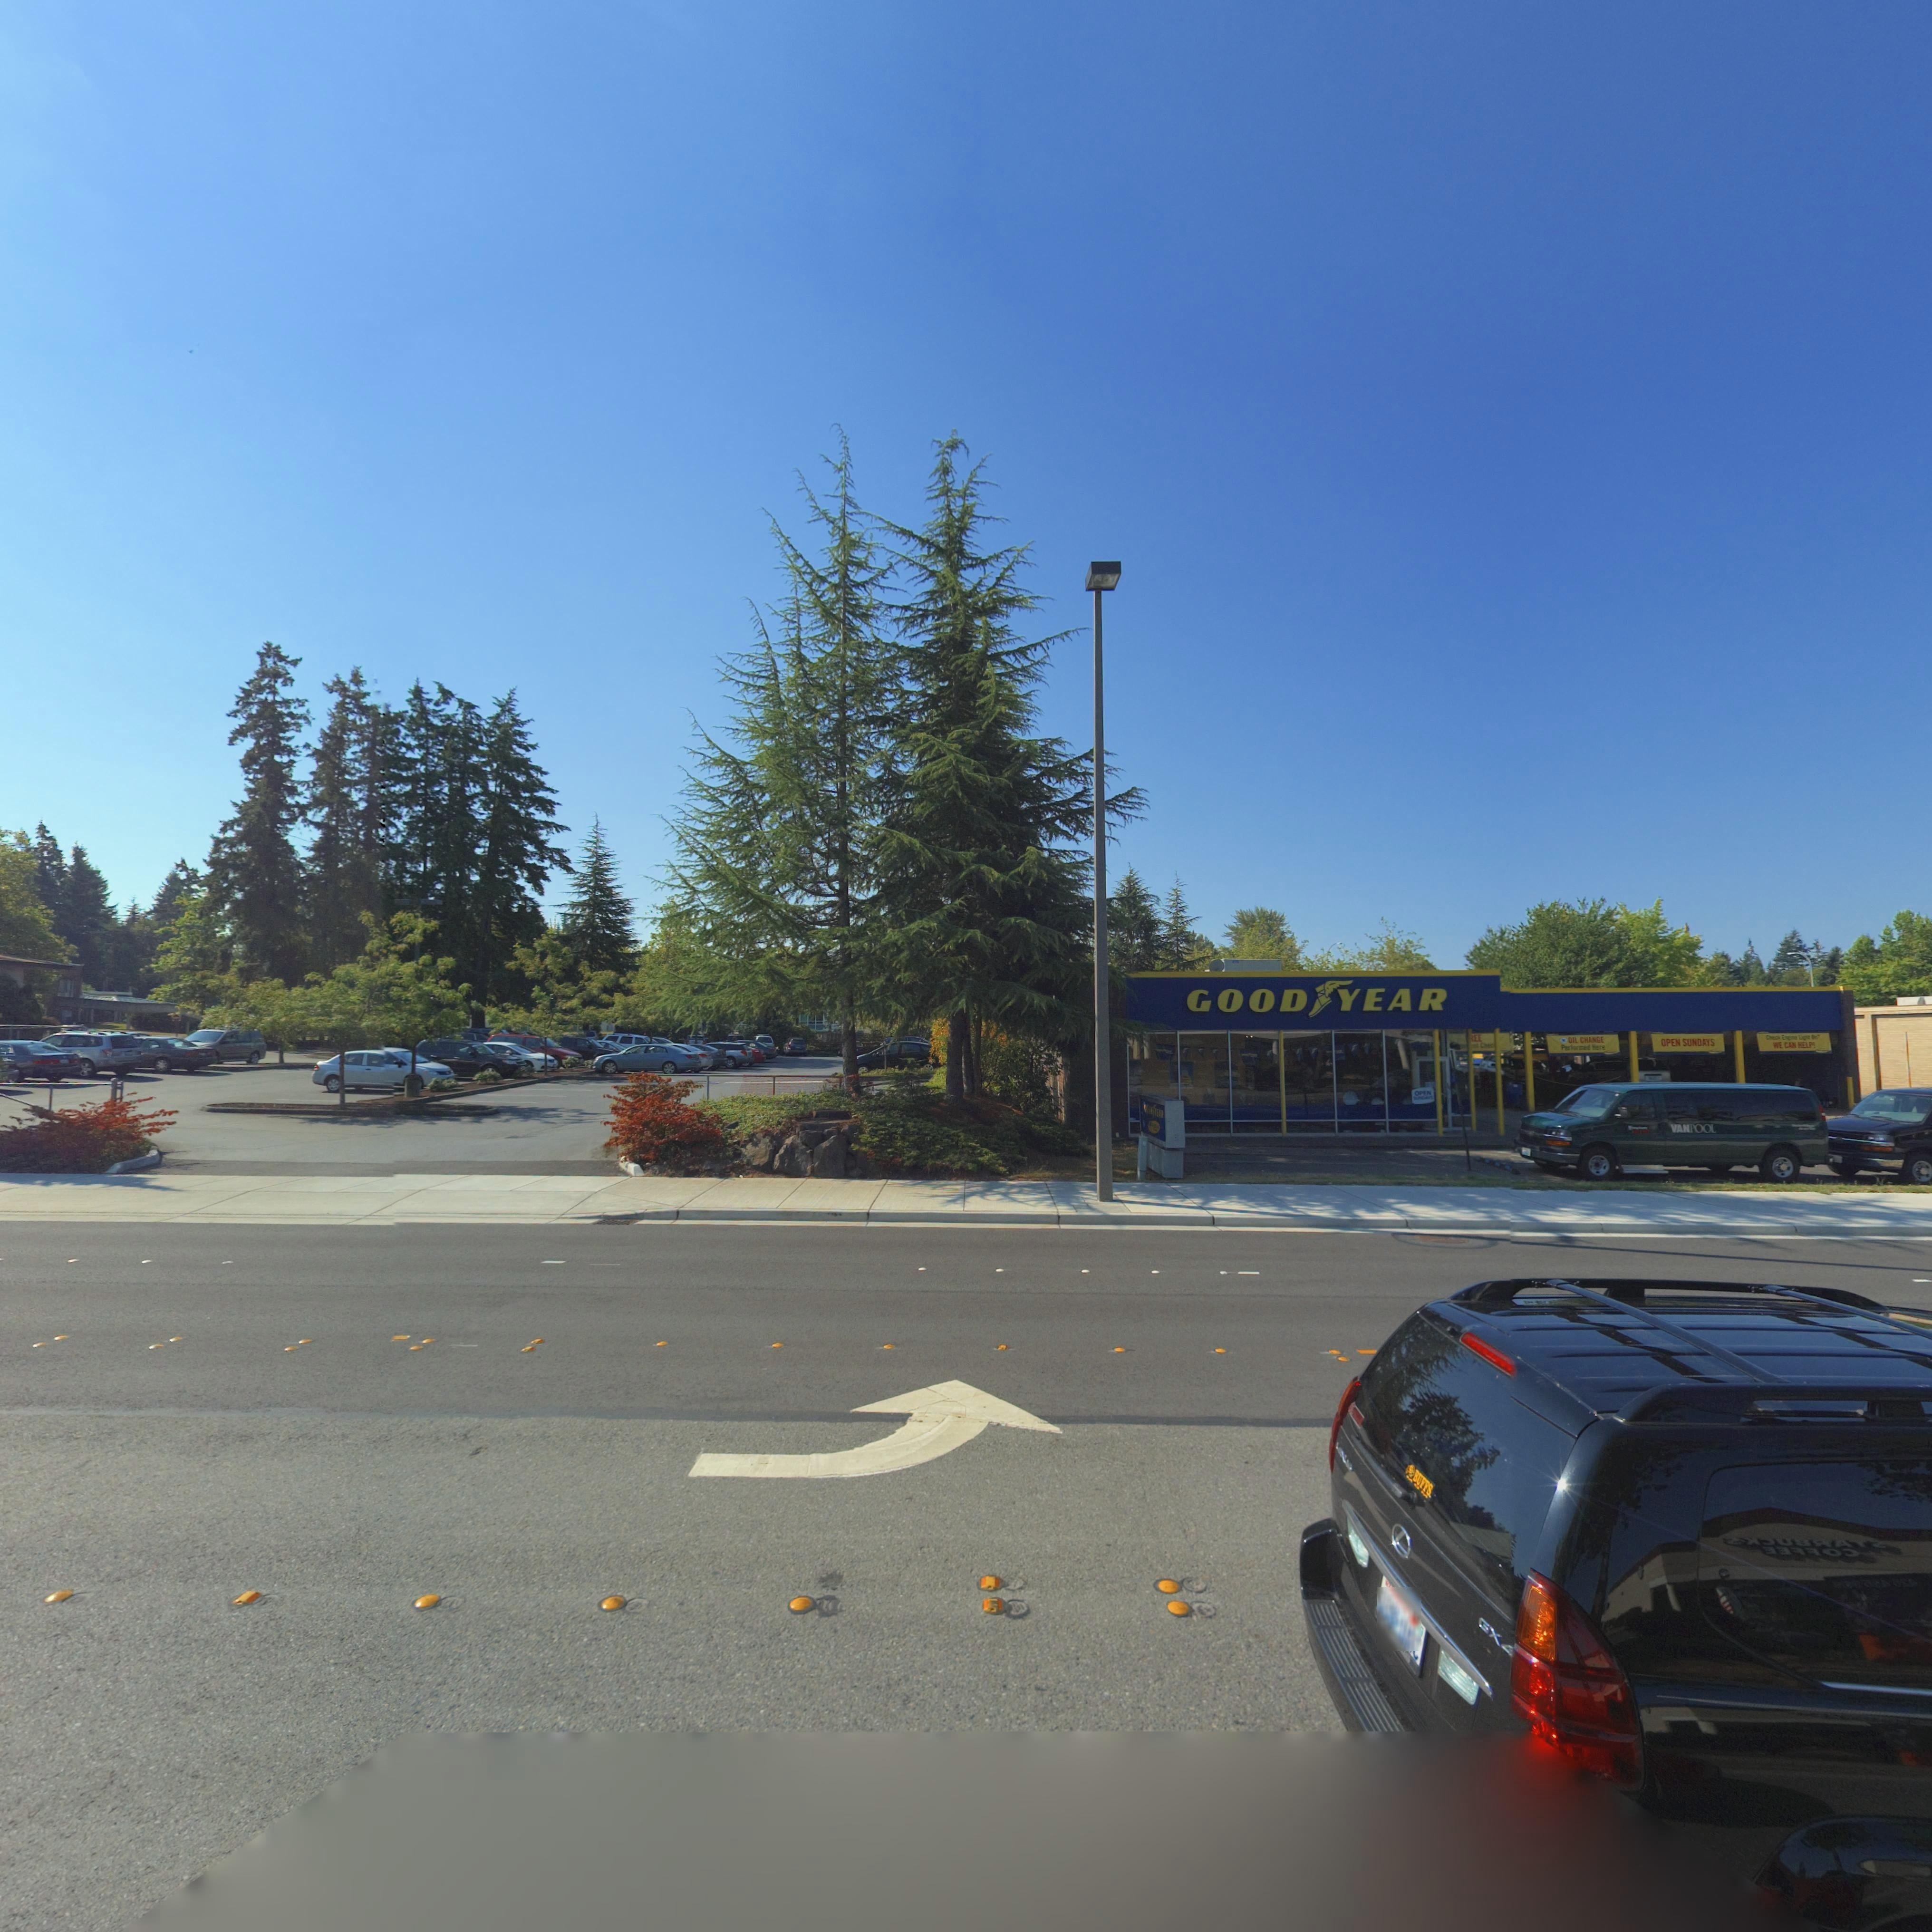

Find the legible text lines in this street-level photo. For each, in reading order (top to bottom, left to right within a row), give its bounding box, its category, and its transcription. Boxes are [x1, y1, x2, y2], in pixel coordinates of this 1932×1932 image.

[1186, 988, 1449, 1012] BusinessName: GOOD*YEAR